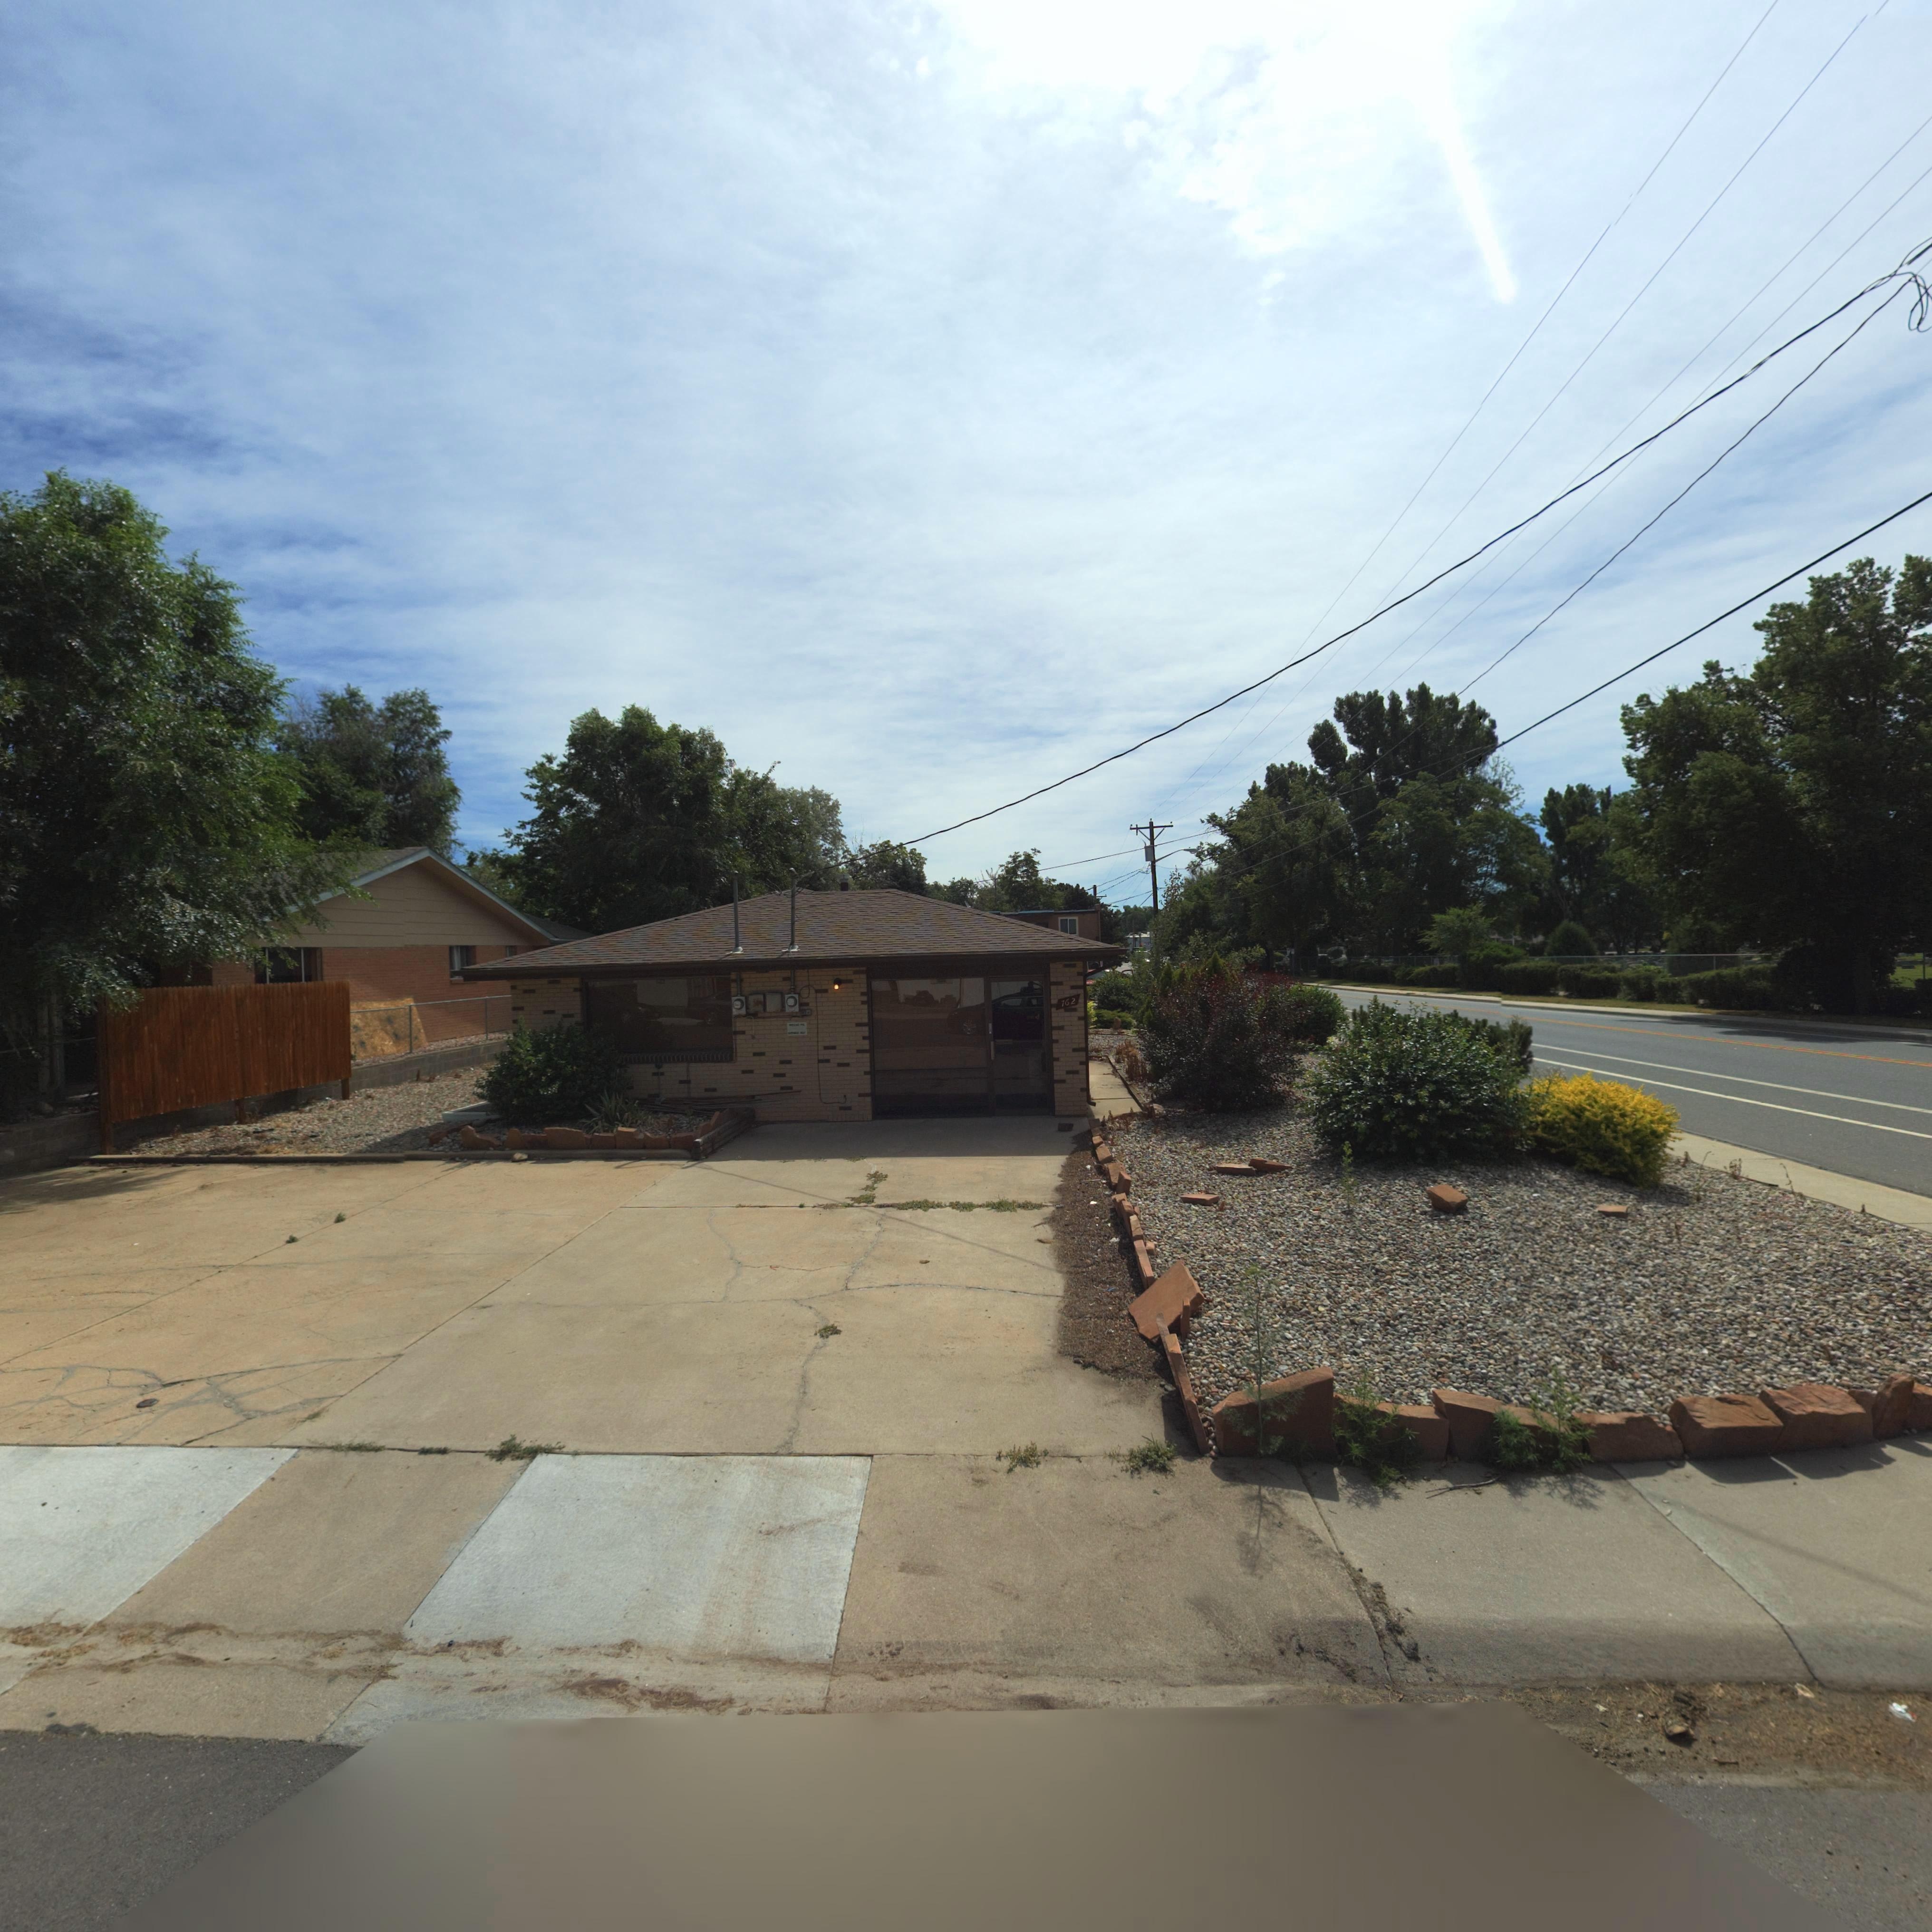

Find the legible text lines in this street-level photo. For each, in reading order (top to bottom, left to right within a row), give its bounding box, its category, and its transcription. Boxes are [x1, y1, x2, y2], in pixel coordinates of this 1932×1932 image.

[1060, 997, 1075, 1007] StreetNumber: 762